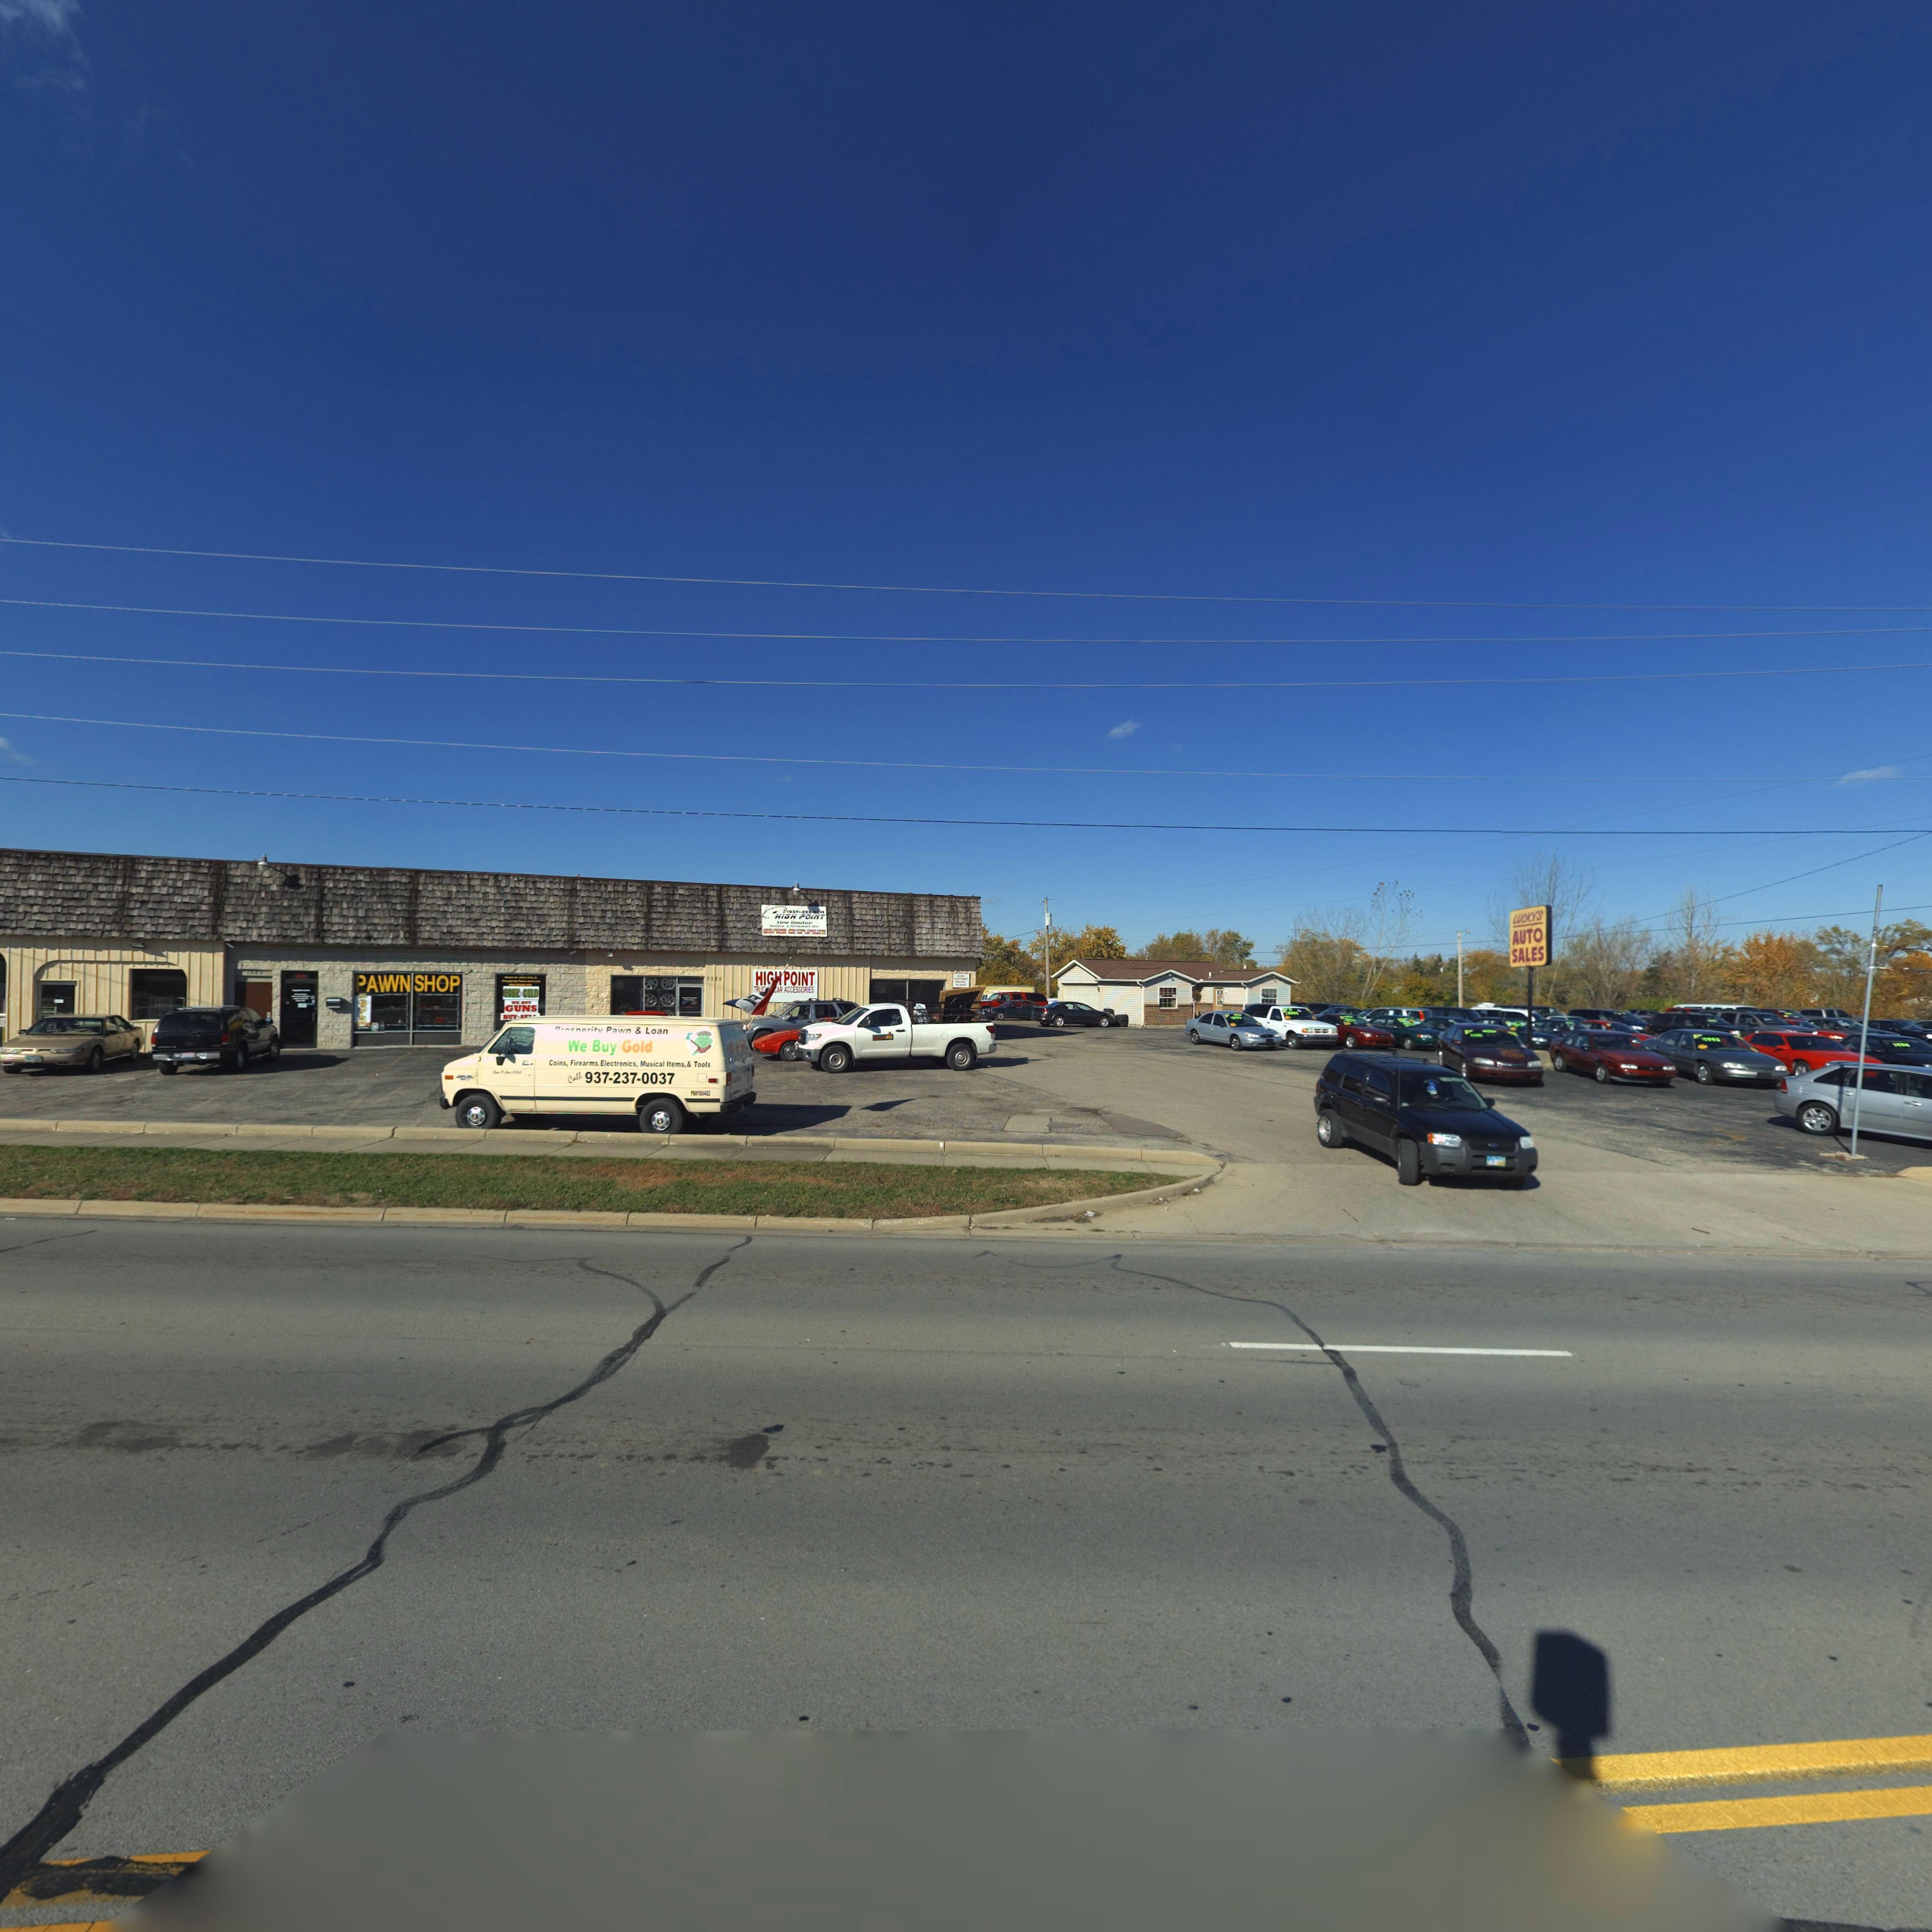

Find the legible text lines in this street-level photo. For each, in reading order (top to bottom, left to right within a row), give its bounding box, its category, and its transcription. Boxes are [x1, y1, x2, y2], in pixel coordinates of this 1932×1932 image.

[773, 913, 826, 920] BusinessName: HIGH POINT
[1512, 909, 1544, 925] BusinessName: LUCKYS
[1512, 927, 1544, 946] BusinessName: AUTO
[1511, 945, 1545, 964] BusinessName: SALES
[245, 969, 263, 975] StreetNumber: 7523
[706, 976, 722, 982] StreetNumber: 7524
[755, 971, 816, 986] BusinessName: HI** POINT
[502, 987, 539, 999] BusinessName: CASH*GOLD